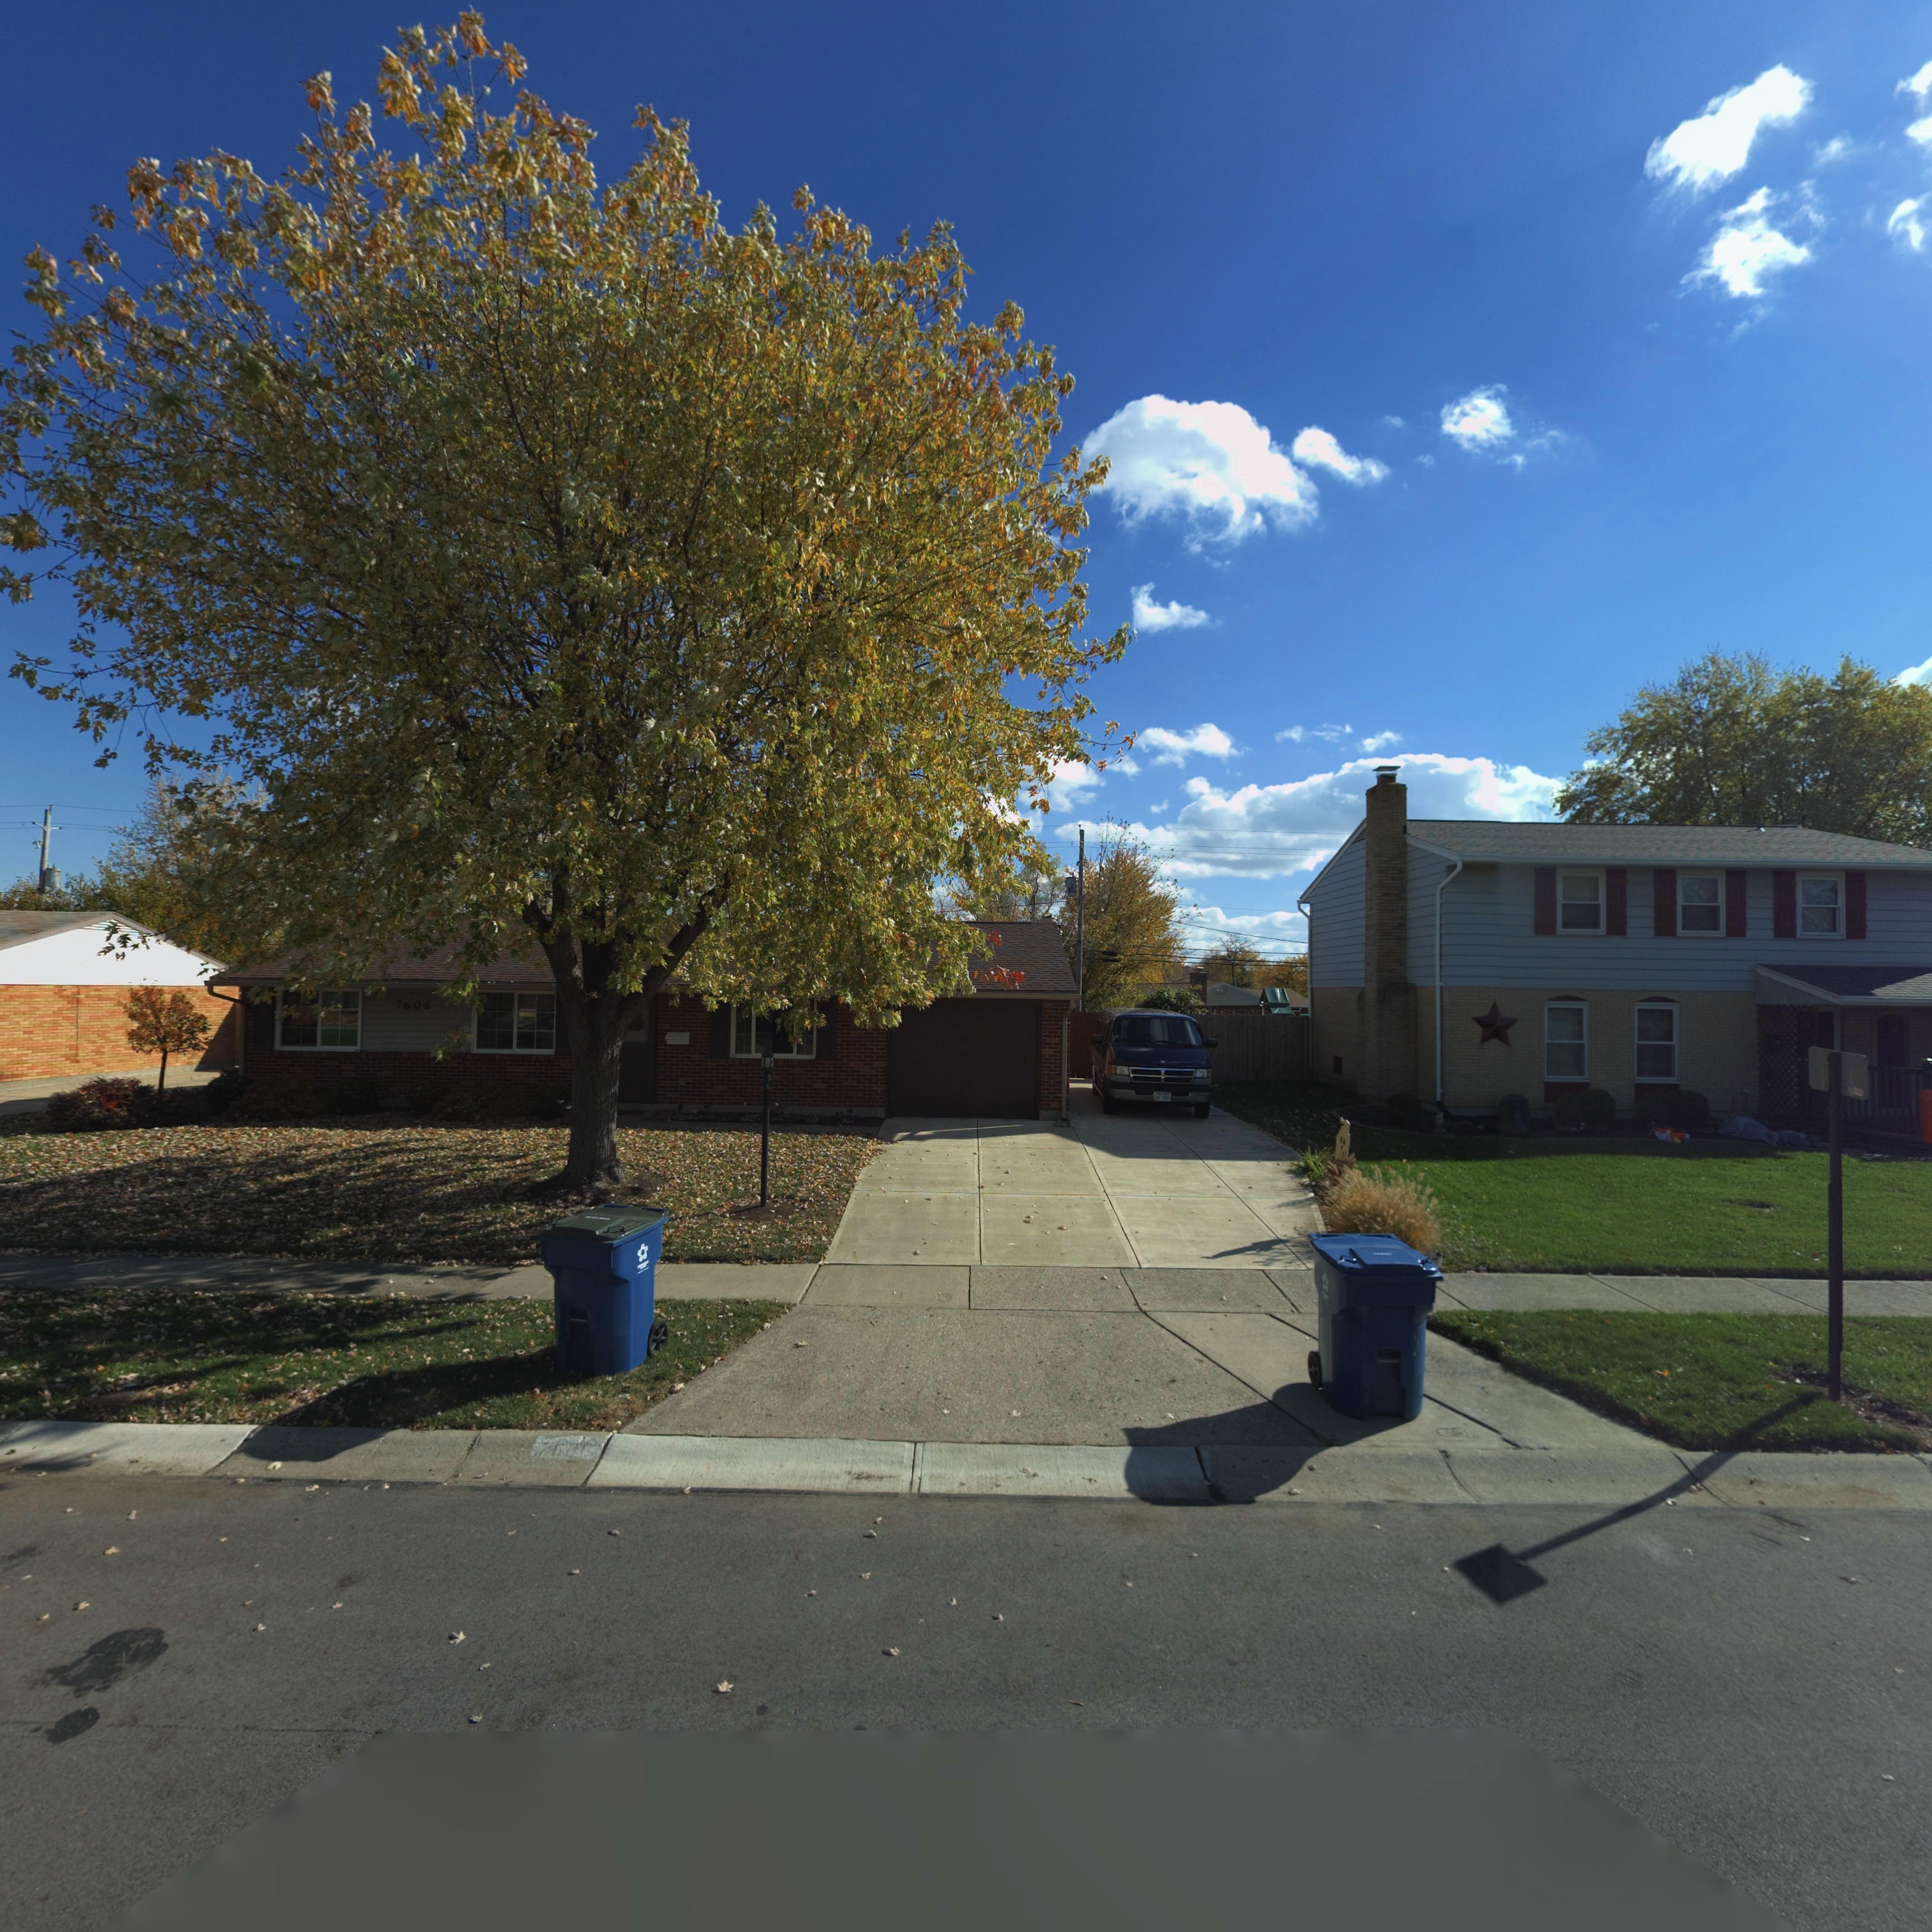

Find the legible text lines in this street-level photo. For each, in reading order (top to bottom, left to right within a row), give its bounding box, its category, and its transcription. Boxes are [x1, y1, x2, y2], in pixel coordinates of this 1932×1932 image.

[395, 999, 433, 1011] StreetNumber: 7606
[532, 1439, 590, 1460] StreetNumber: *6**